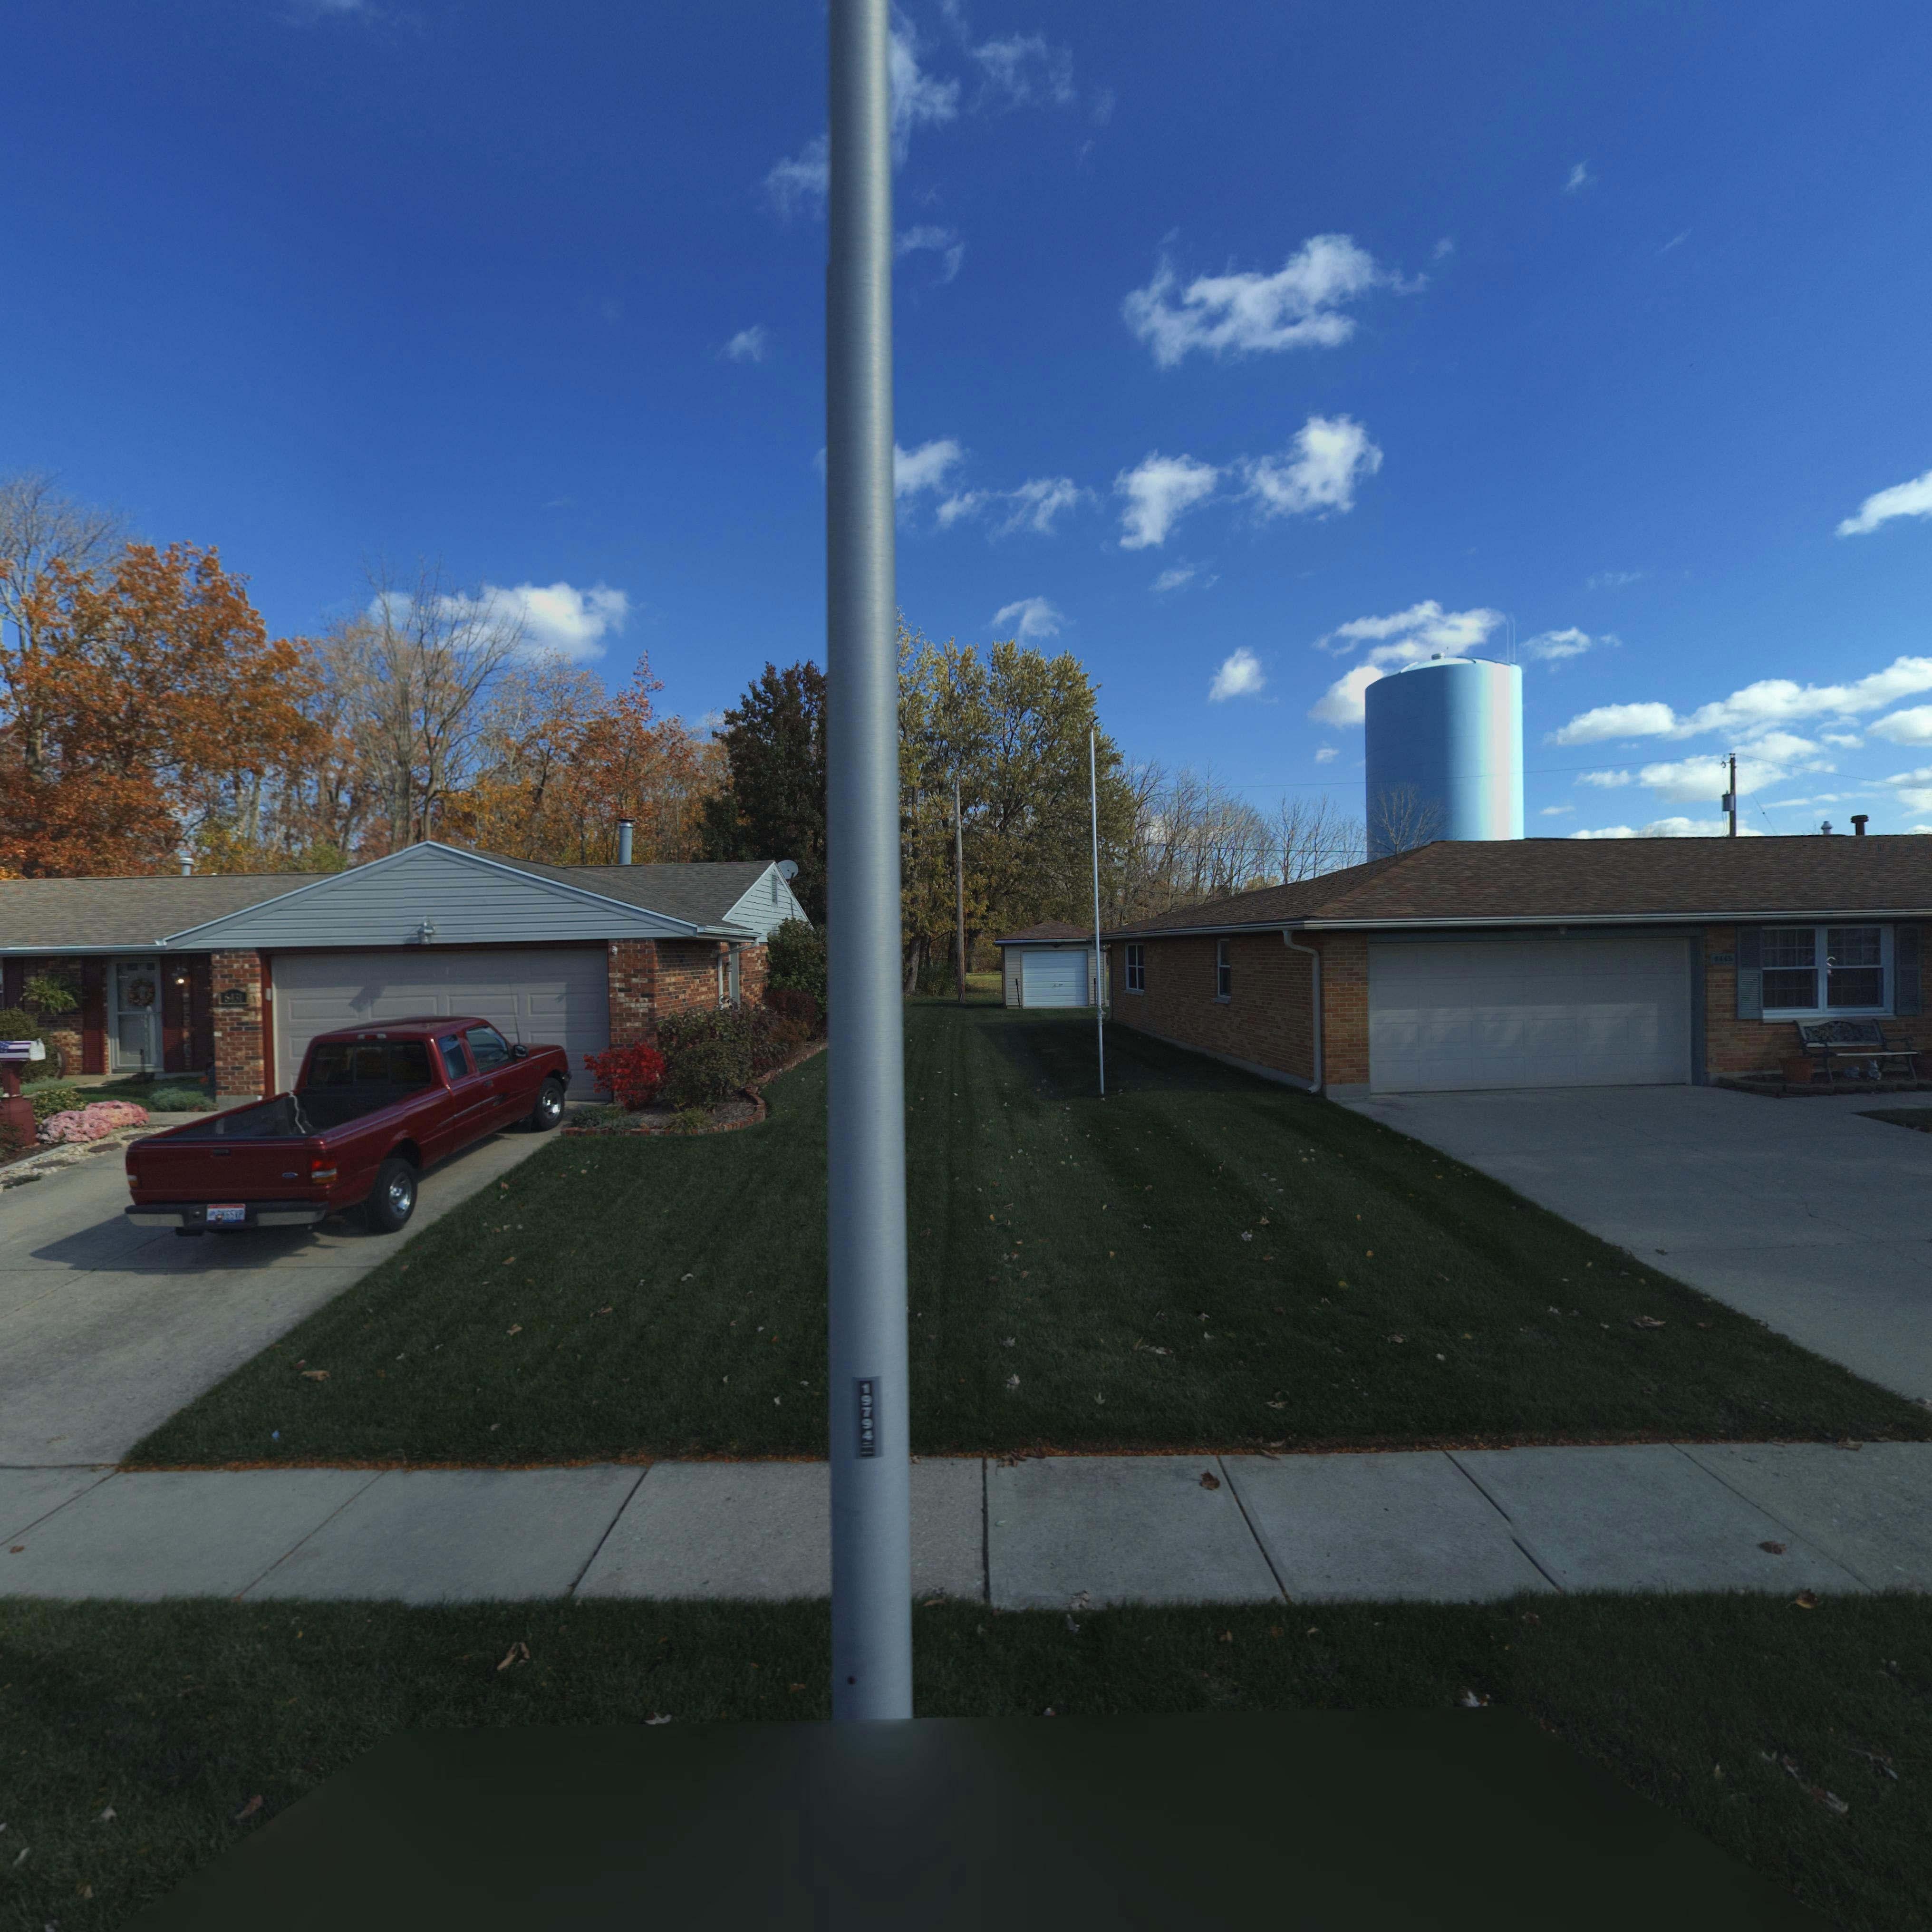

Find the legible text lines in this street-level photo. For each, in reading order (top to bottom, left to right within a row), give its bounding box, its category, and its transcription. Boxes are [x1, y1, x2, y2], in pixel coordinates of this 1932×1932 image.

[1714, 955, 1733, 962] StreetNumber: 6445
[223, 992, 243, 1003] StreetNumber: 6431